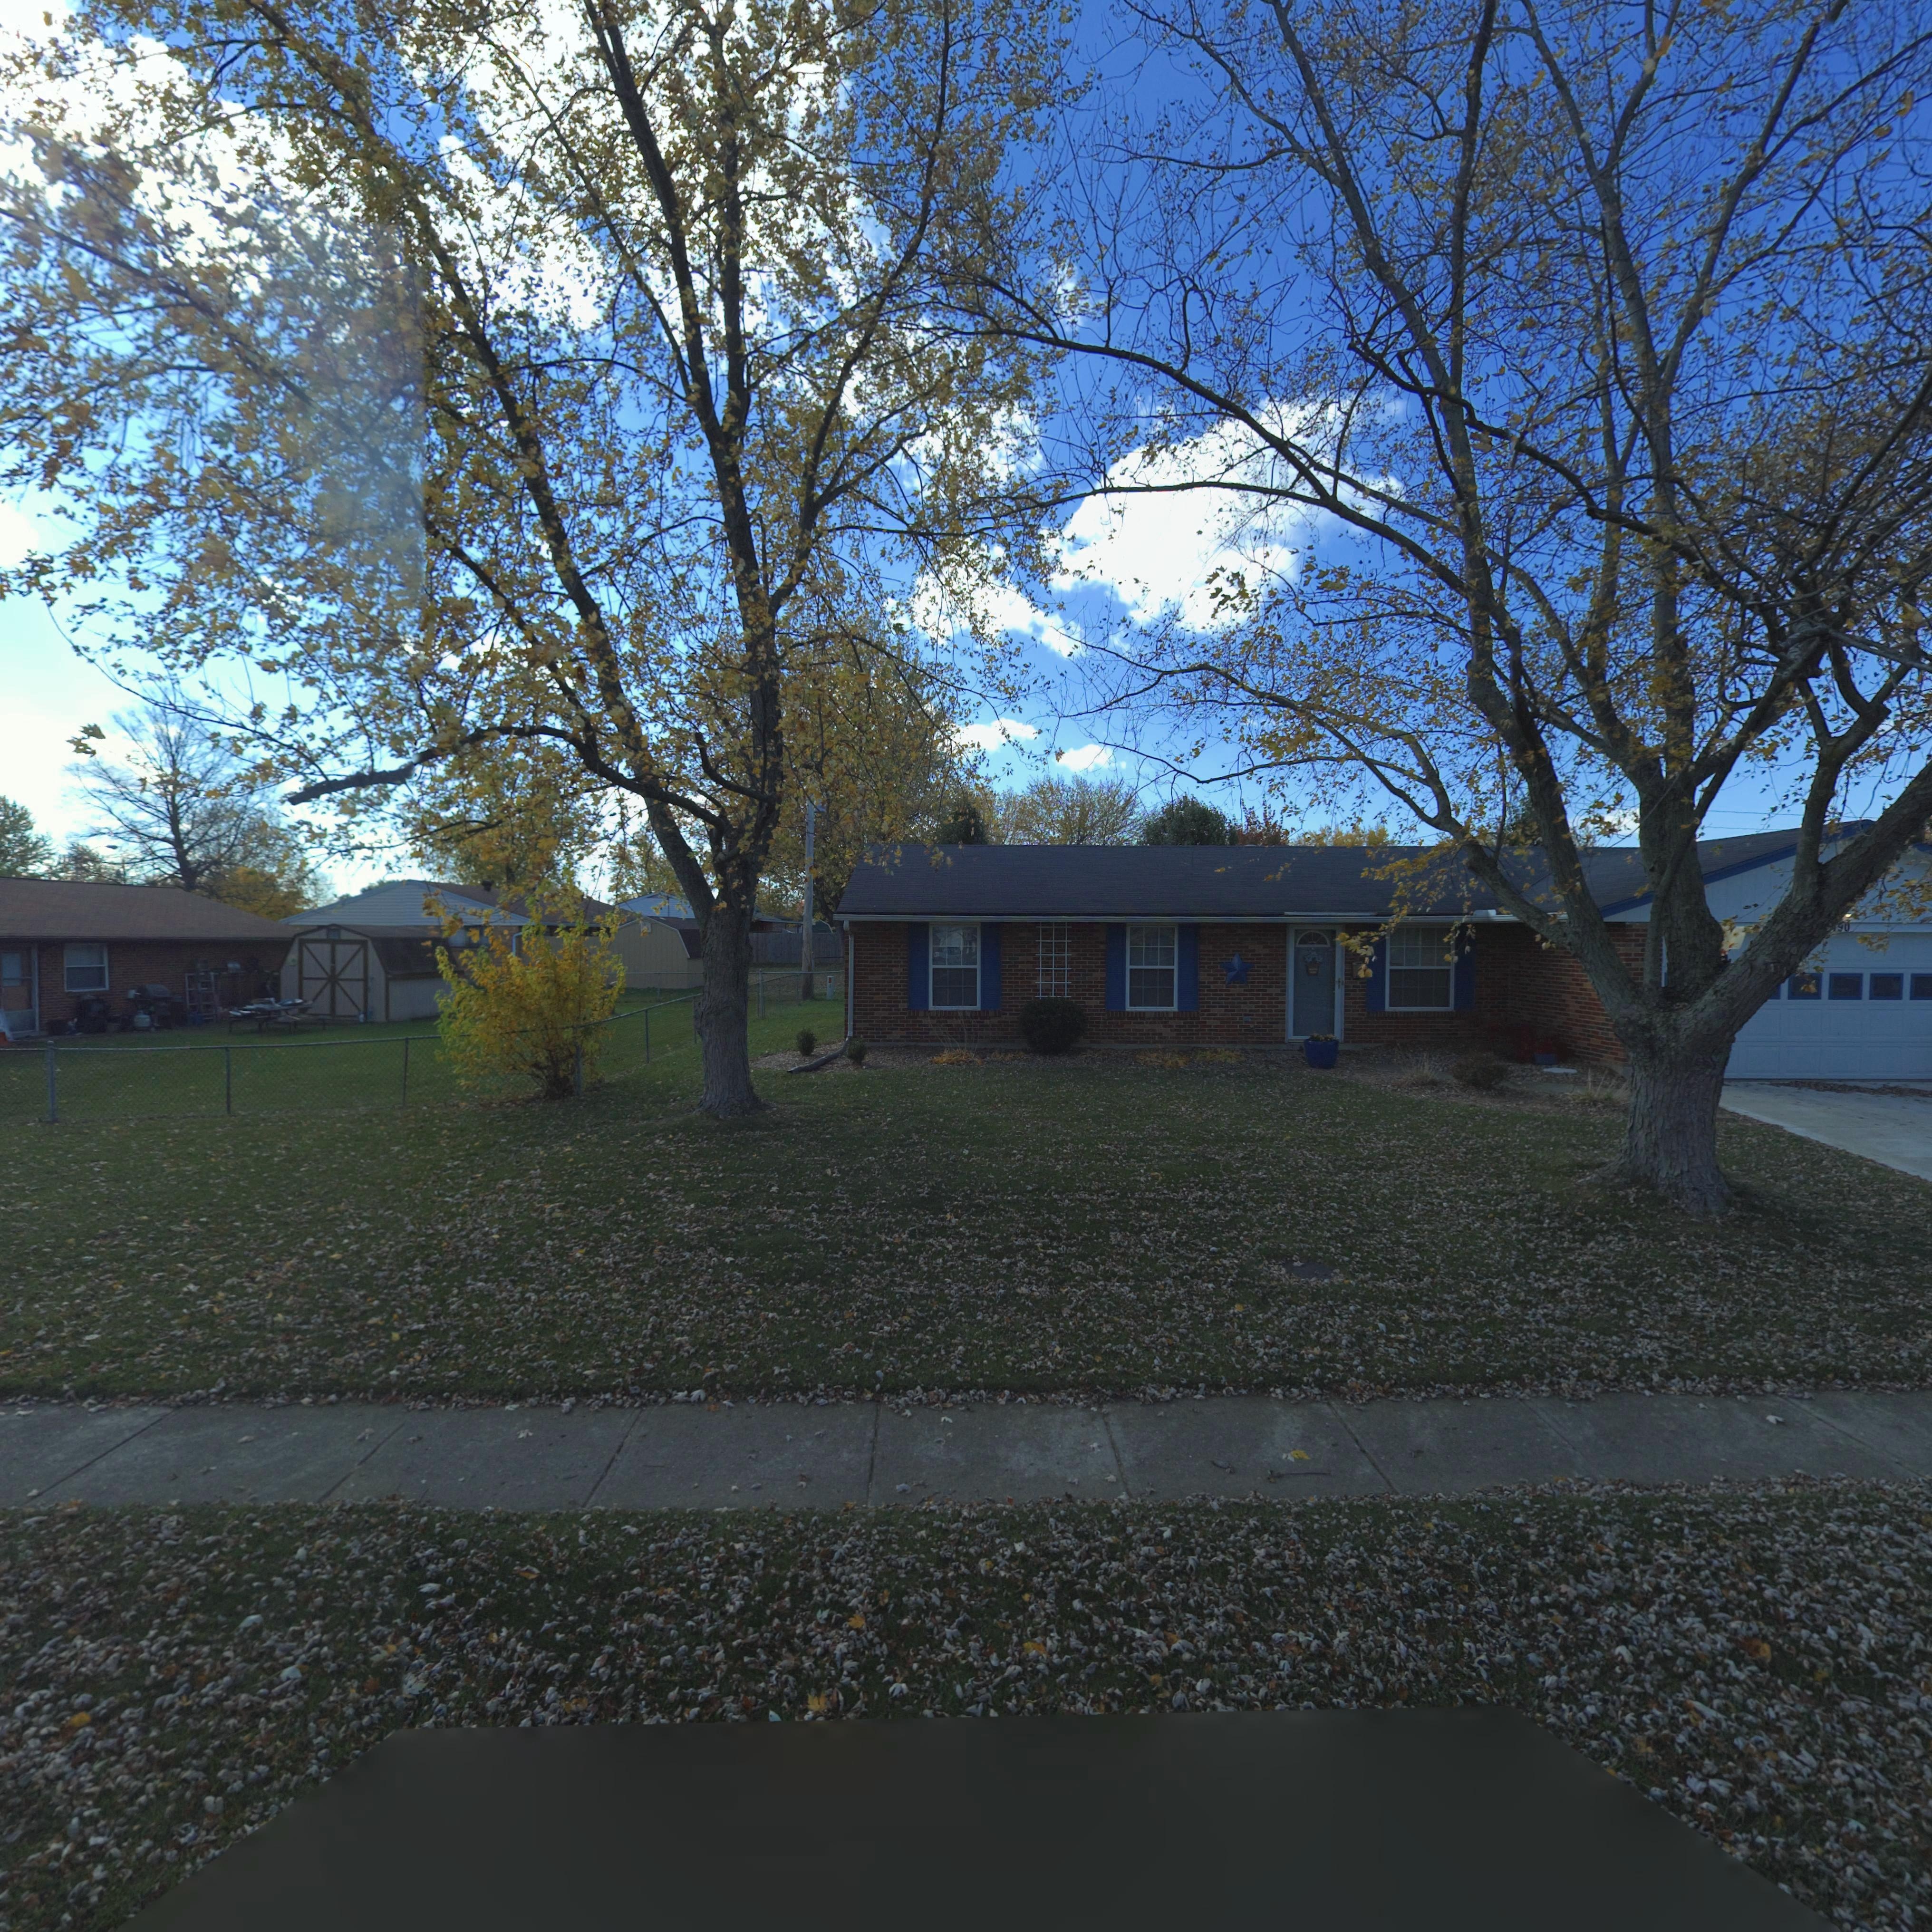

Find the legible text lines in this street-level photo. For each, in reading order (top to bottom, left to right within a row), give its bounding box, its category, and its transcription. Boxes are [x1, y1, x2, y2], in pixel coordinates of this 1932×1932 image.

[1835, 922, 1851, 934] StreetNumber: *0